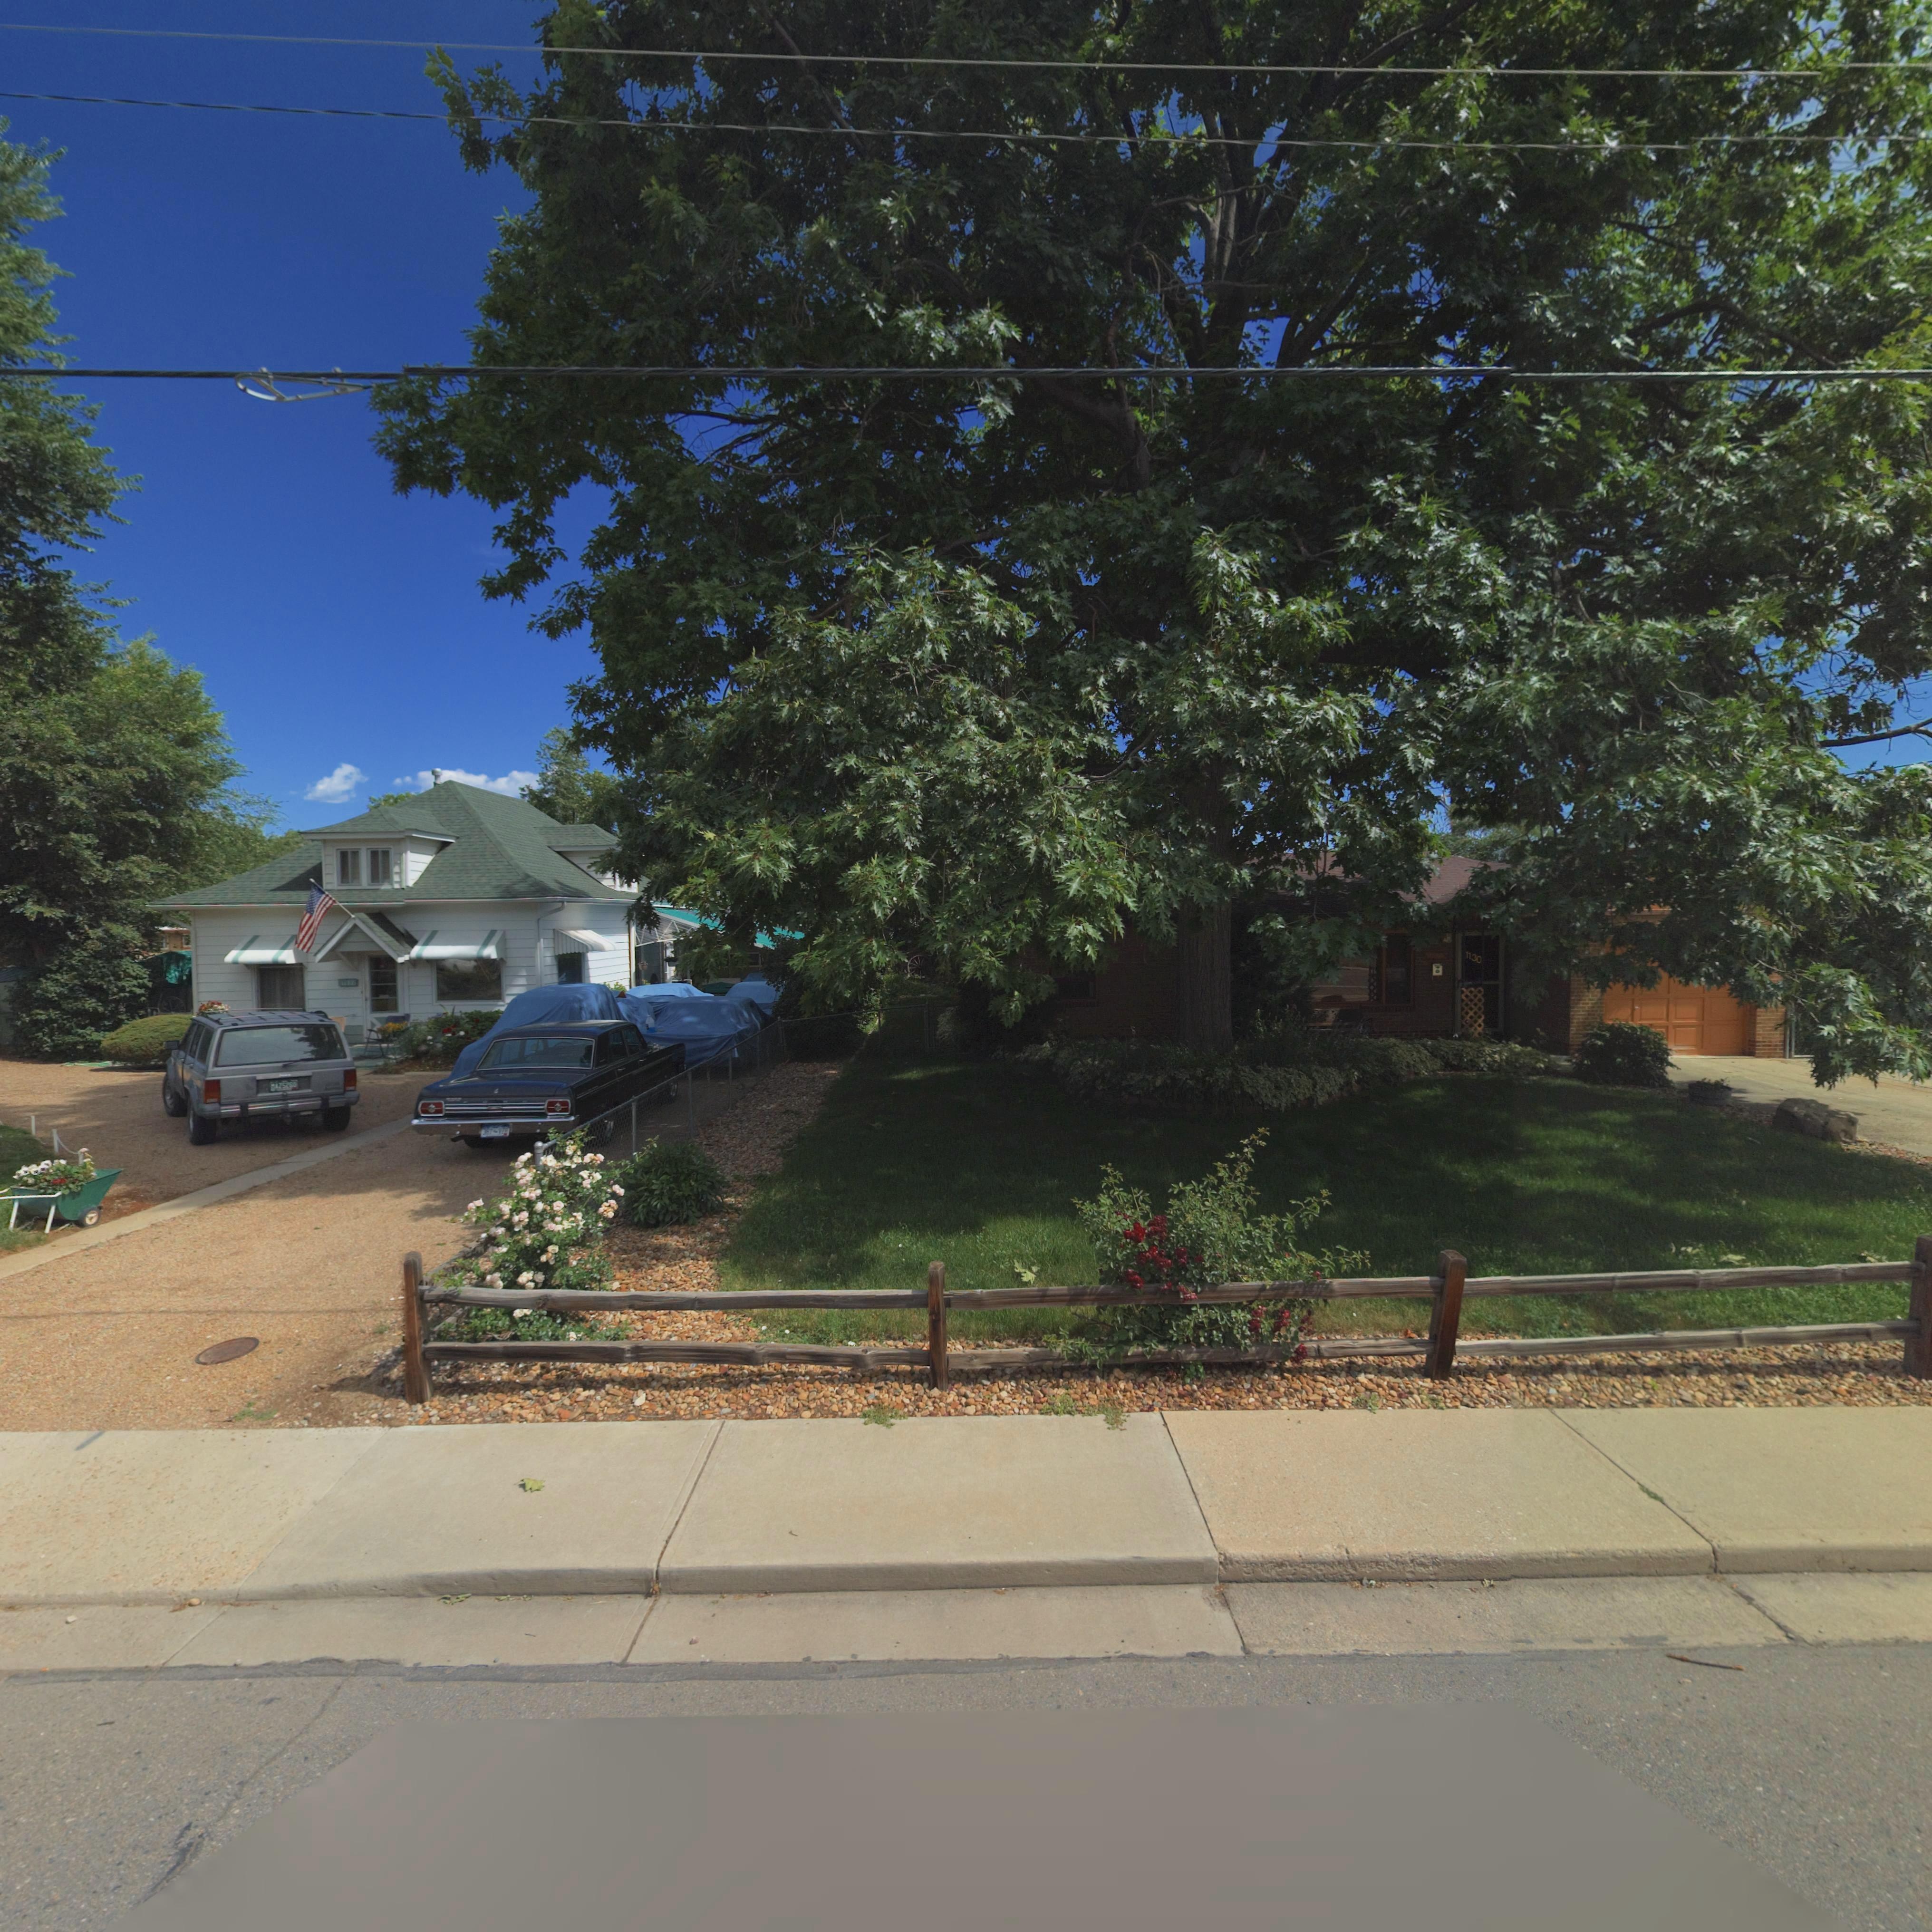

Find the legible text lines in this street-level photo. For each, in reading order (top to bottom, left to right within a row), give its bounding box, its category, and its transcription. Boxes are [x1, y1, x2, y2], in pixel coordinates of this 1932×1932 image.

[1466, 950, 1482, 964] StreetNumber: 1130